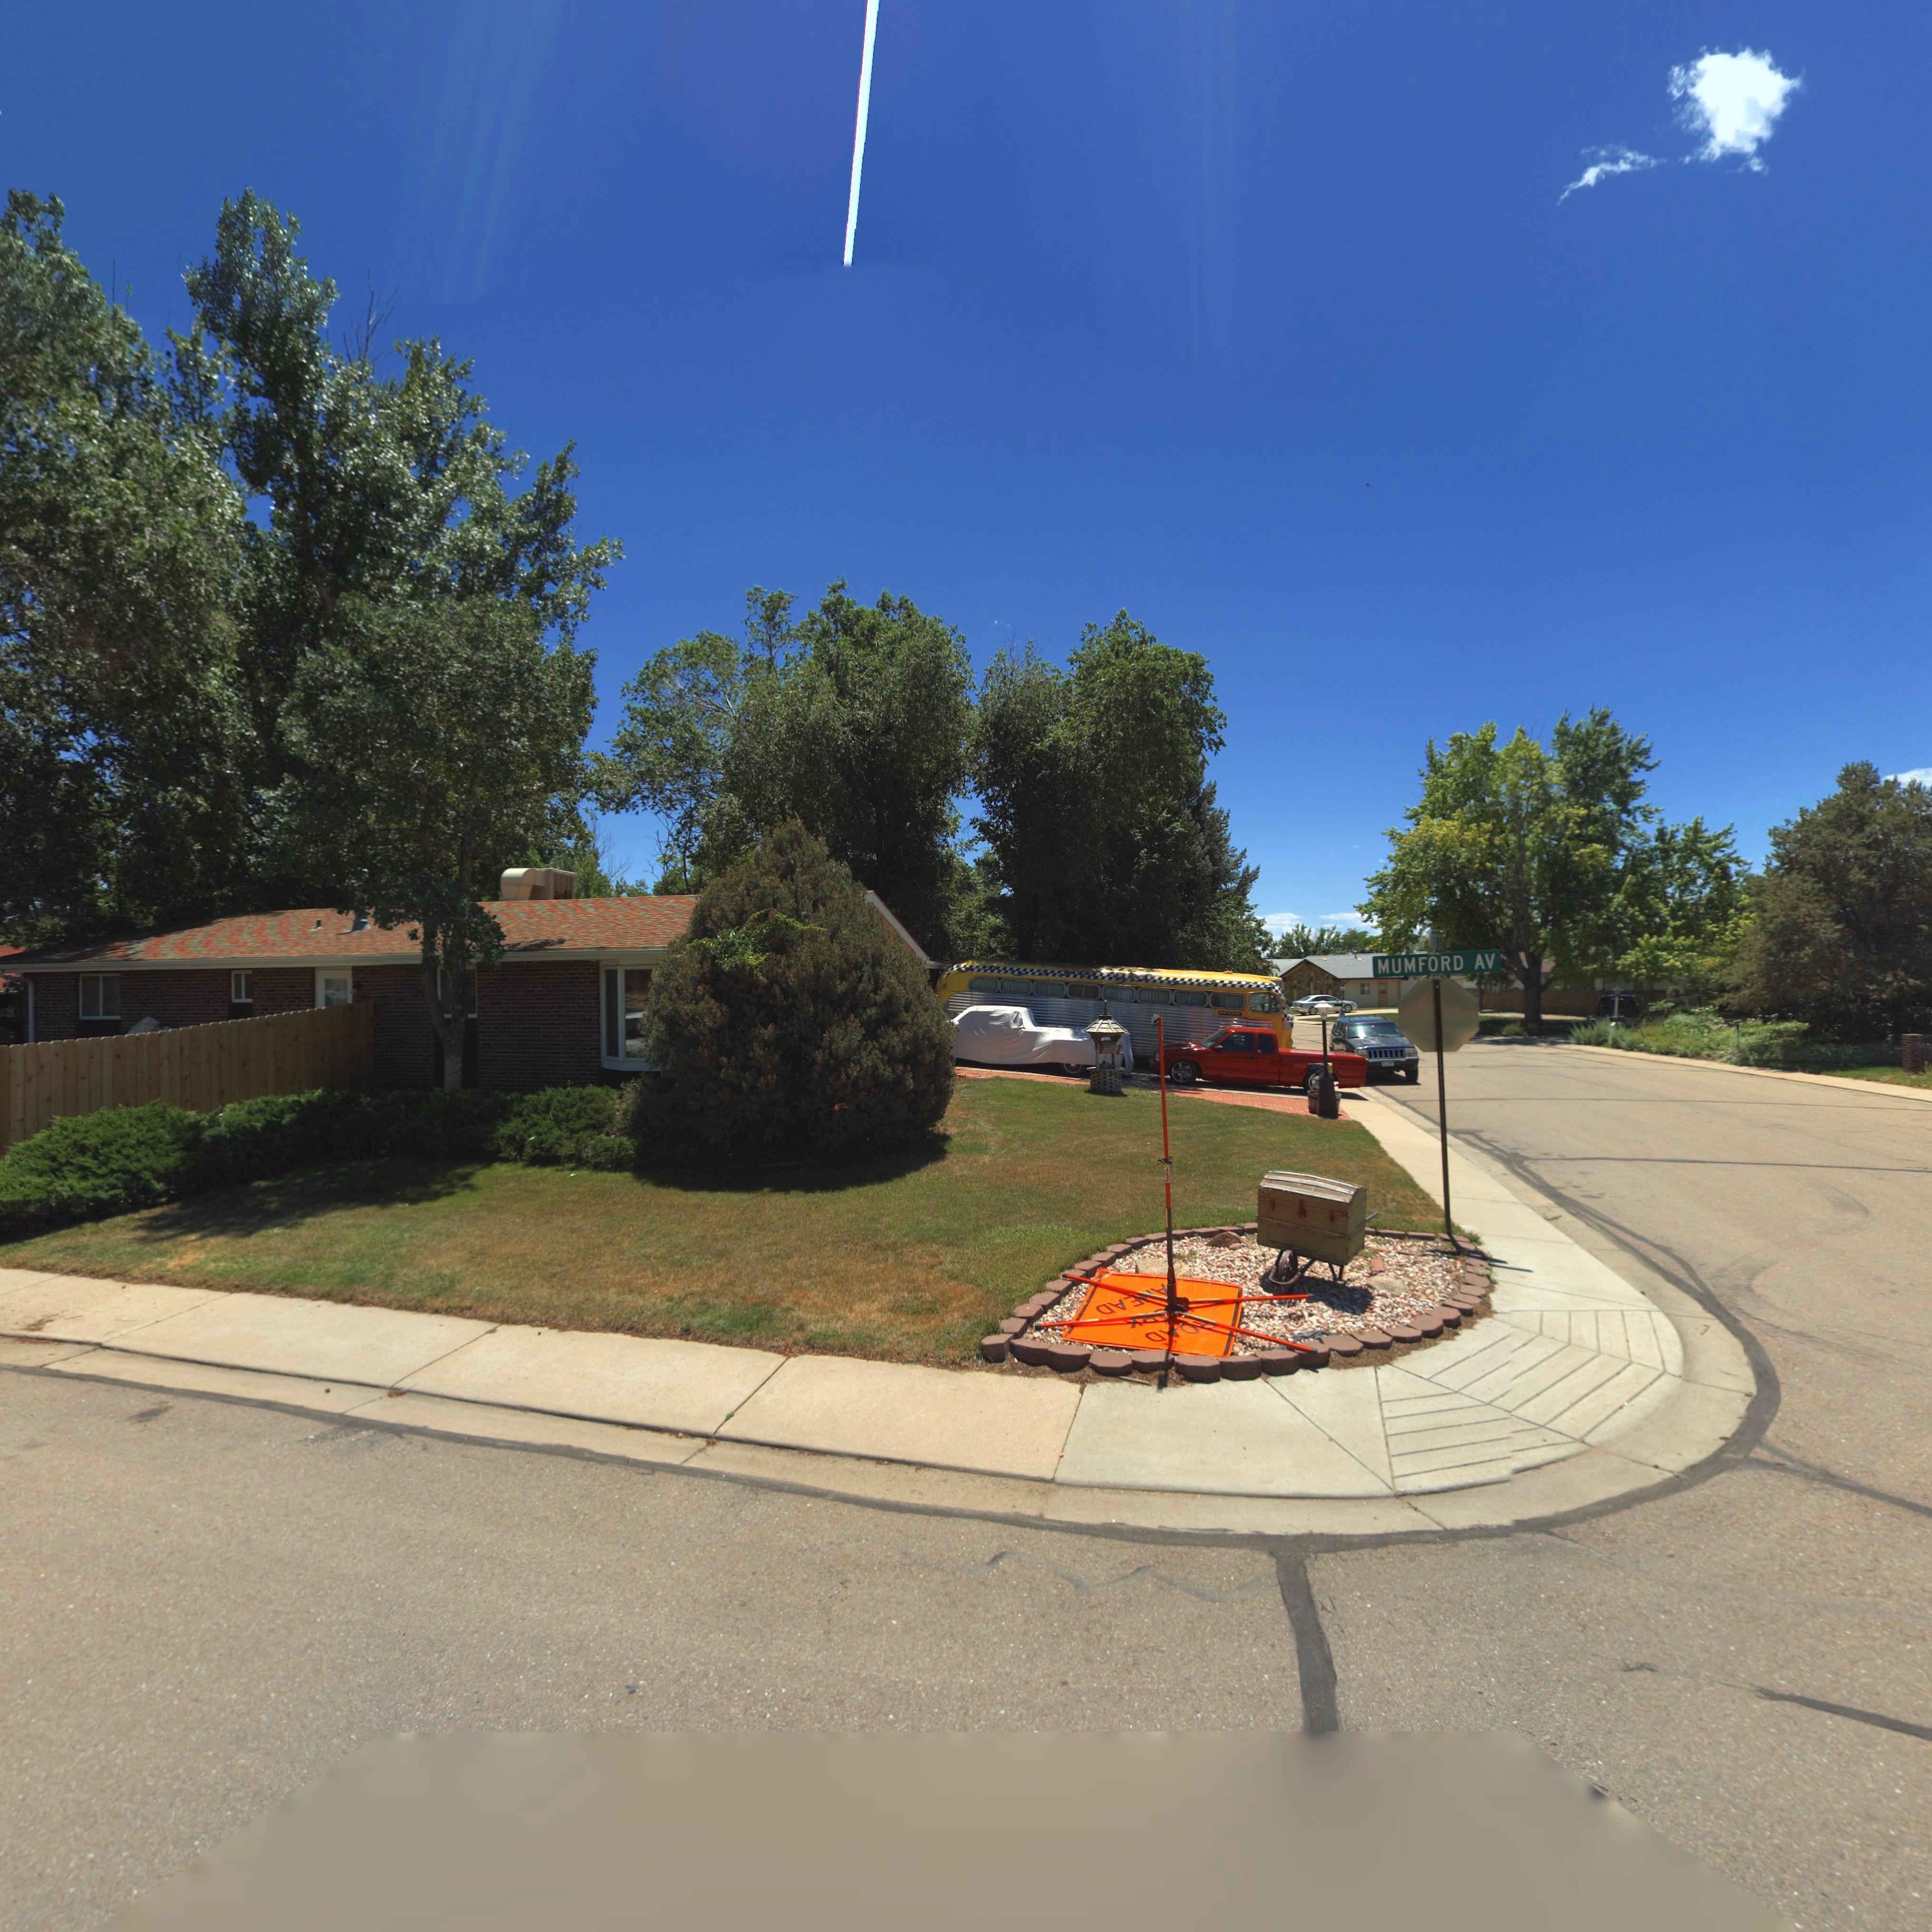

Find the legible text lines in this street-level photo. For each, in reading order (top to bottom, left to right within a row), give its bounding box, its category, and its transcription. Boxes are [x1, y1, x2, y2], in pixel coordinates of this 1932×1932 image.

[1377, 954, 1495, 974] StreetName: MUMFORD AV